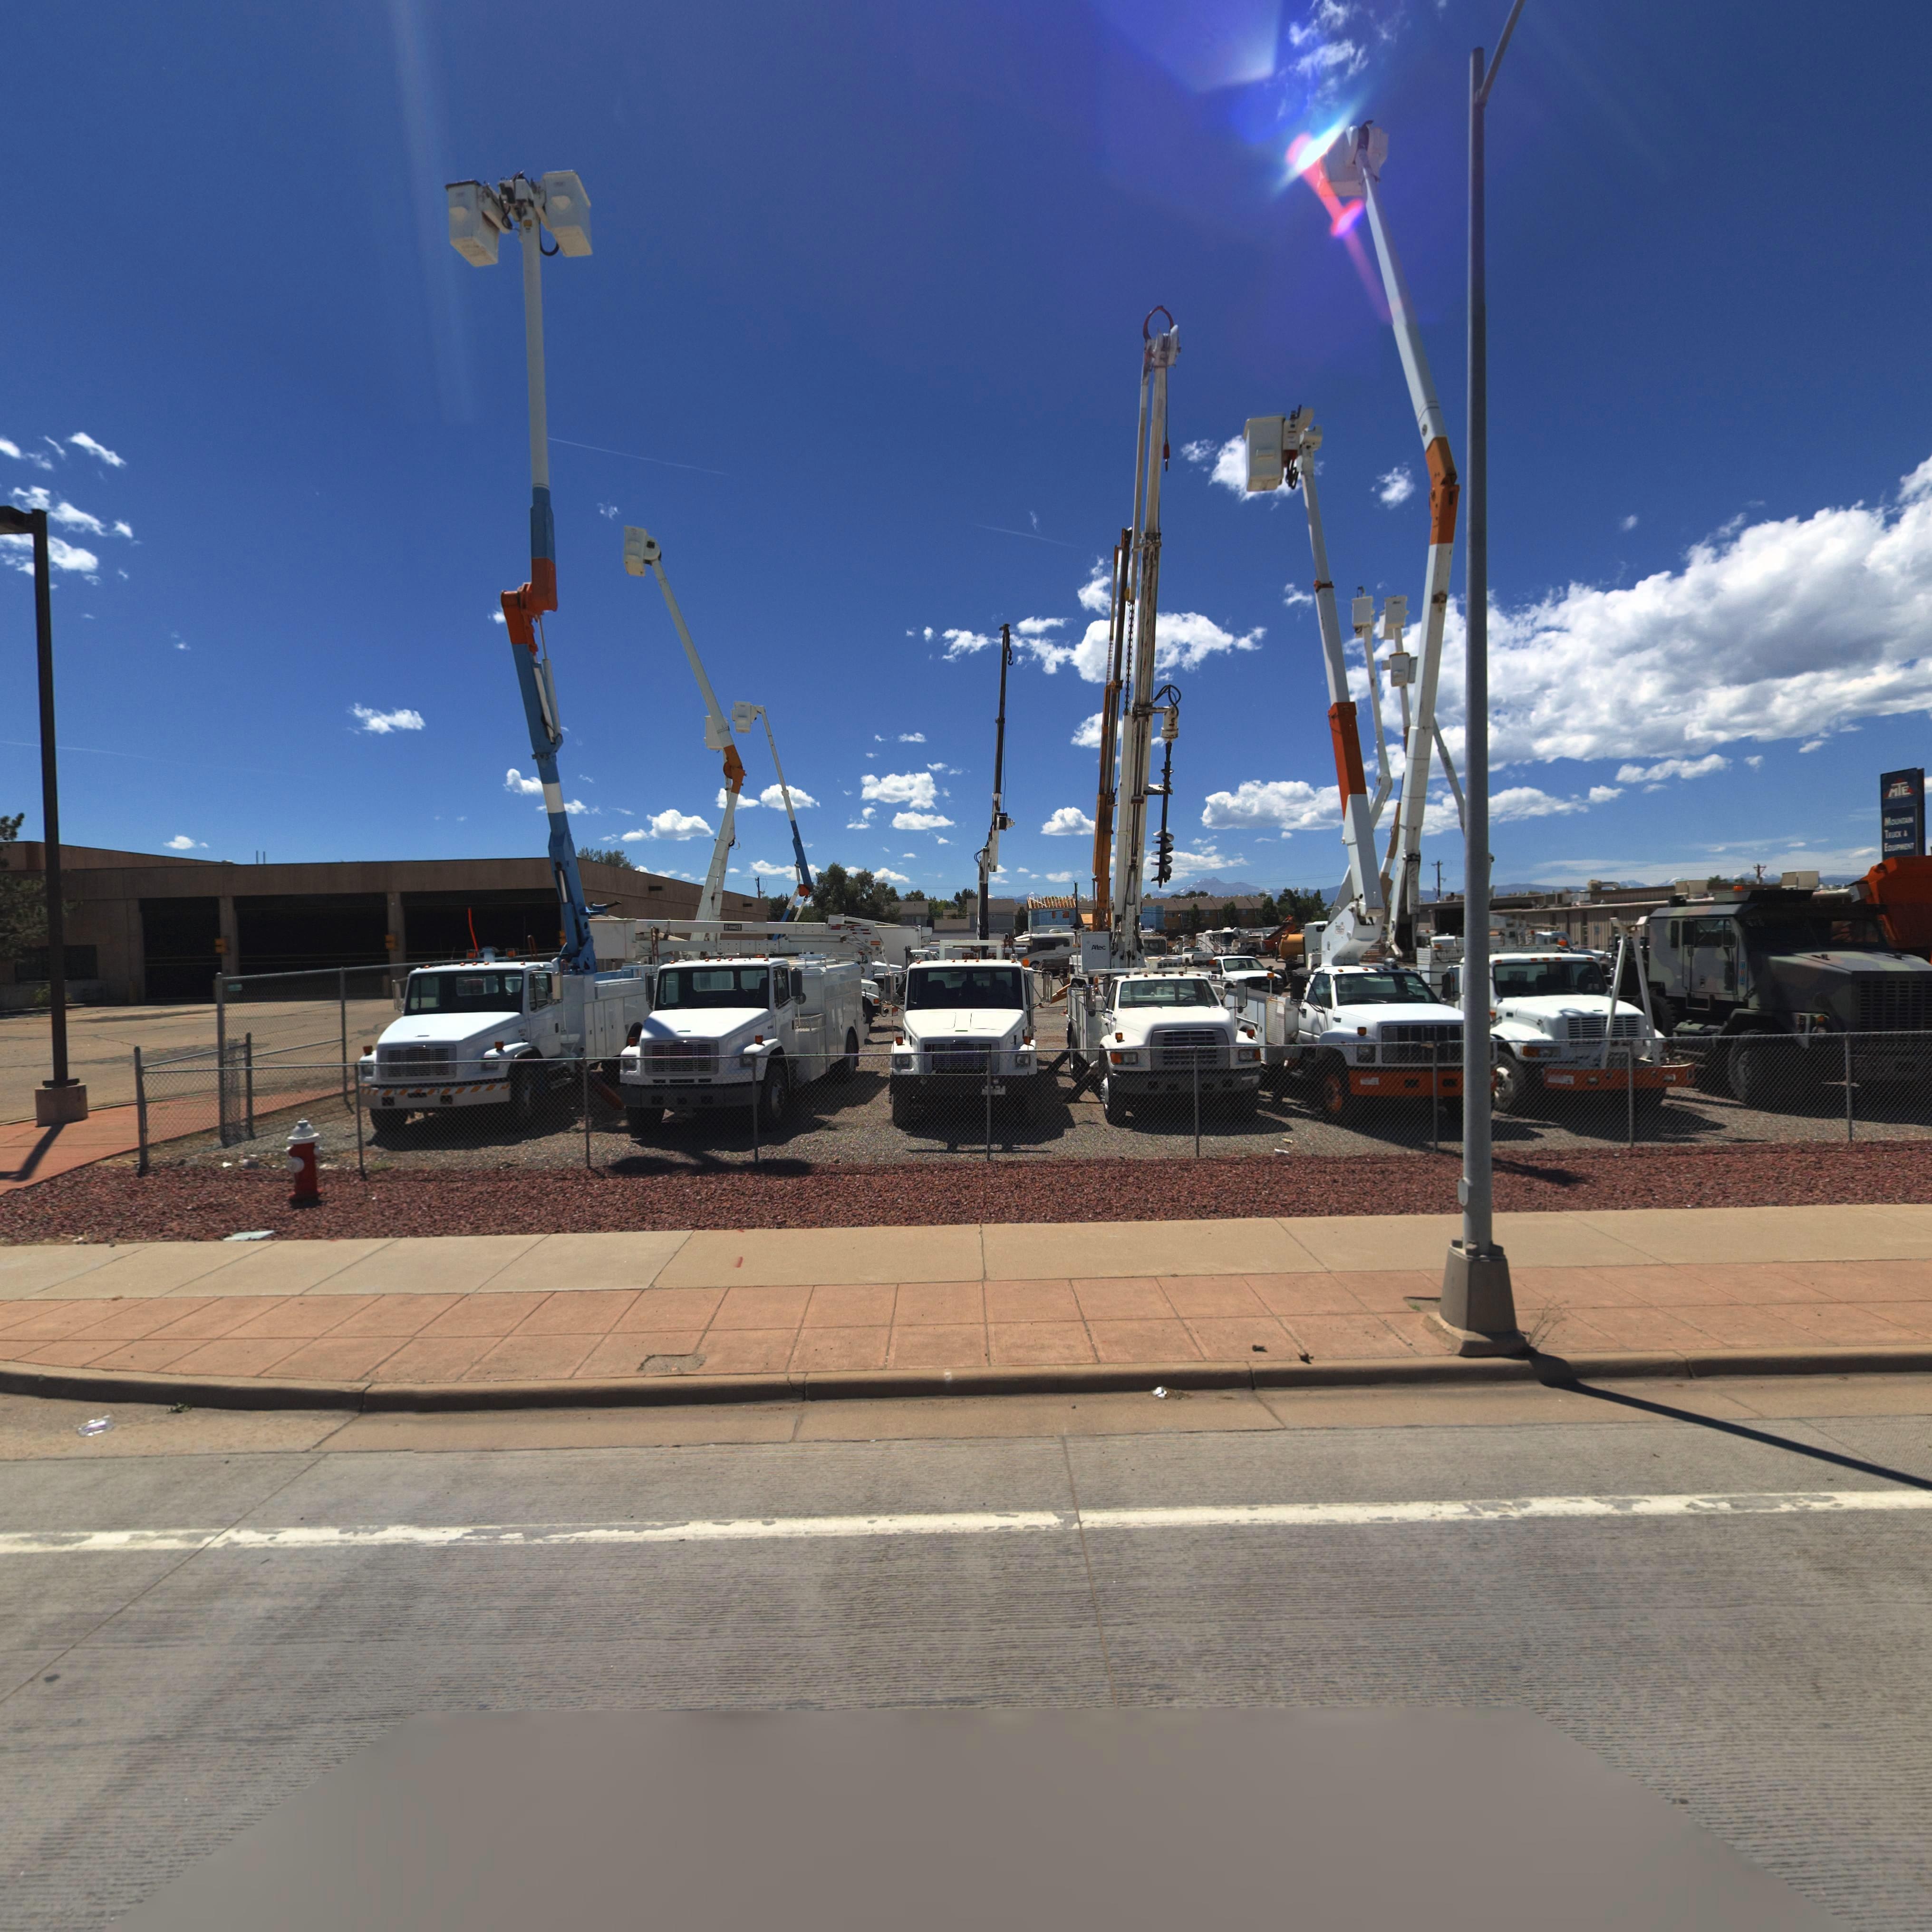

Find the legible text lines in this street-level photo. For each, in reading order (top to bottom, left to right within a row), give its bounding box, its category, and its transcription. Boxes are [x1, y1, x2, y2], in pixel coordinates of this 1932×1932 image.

[1887, 781, 1912, 799] BusinessName: MTE